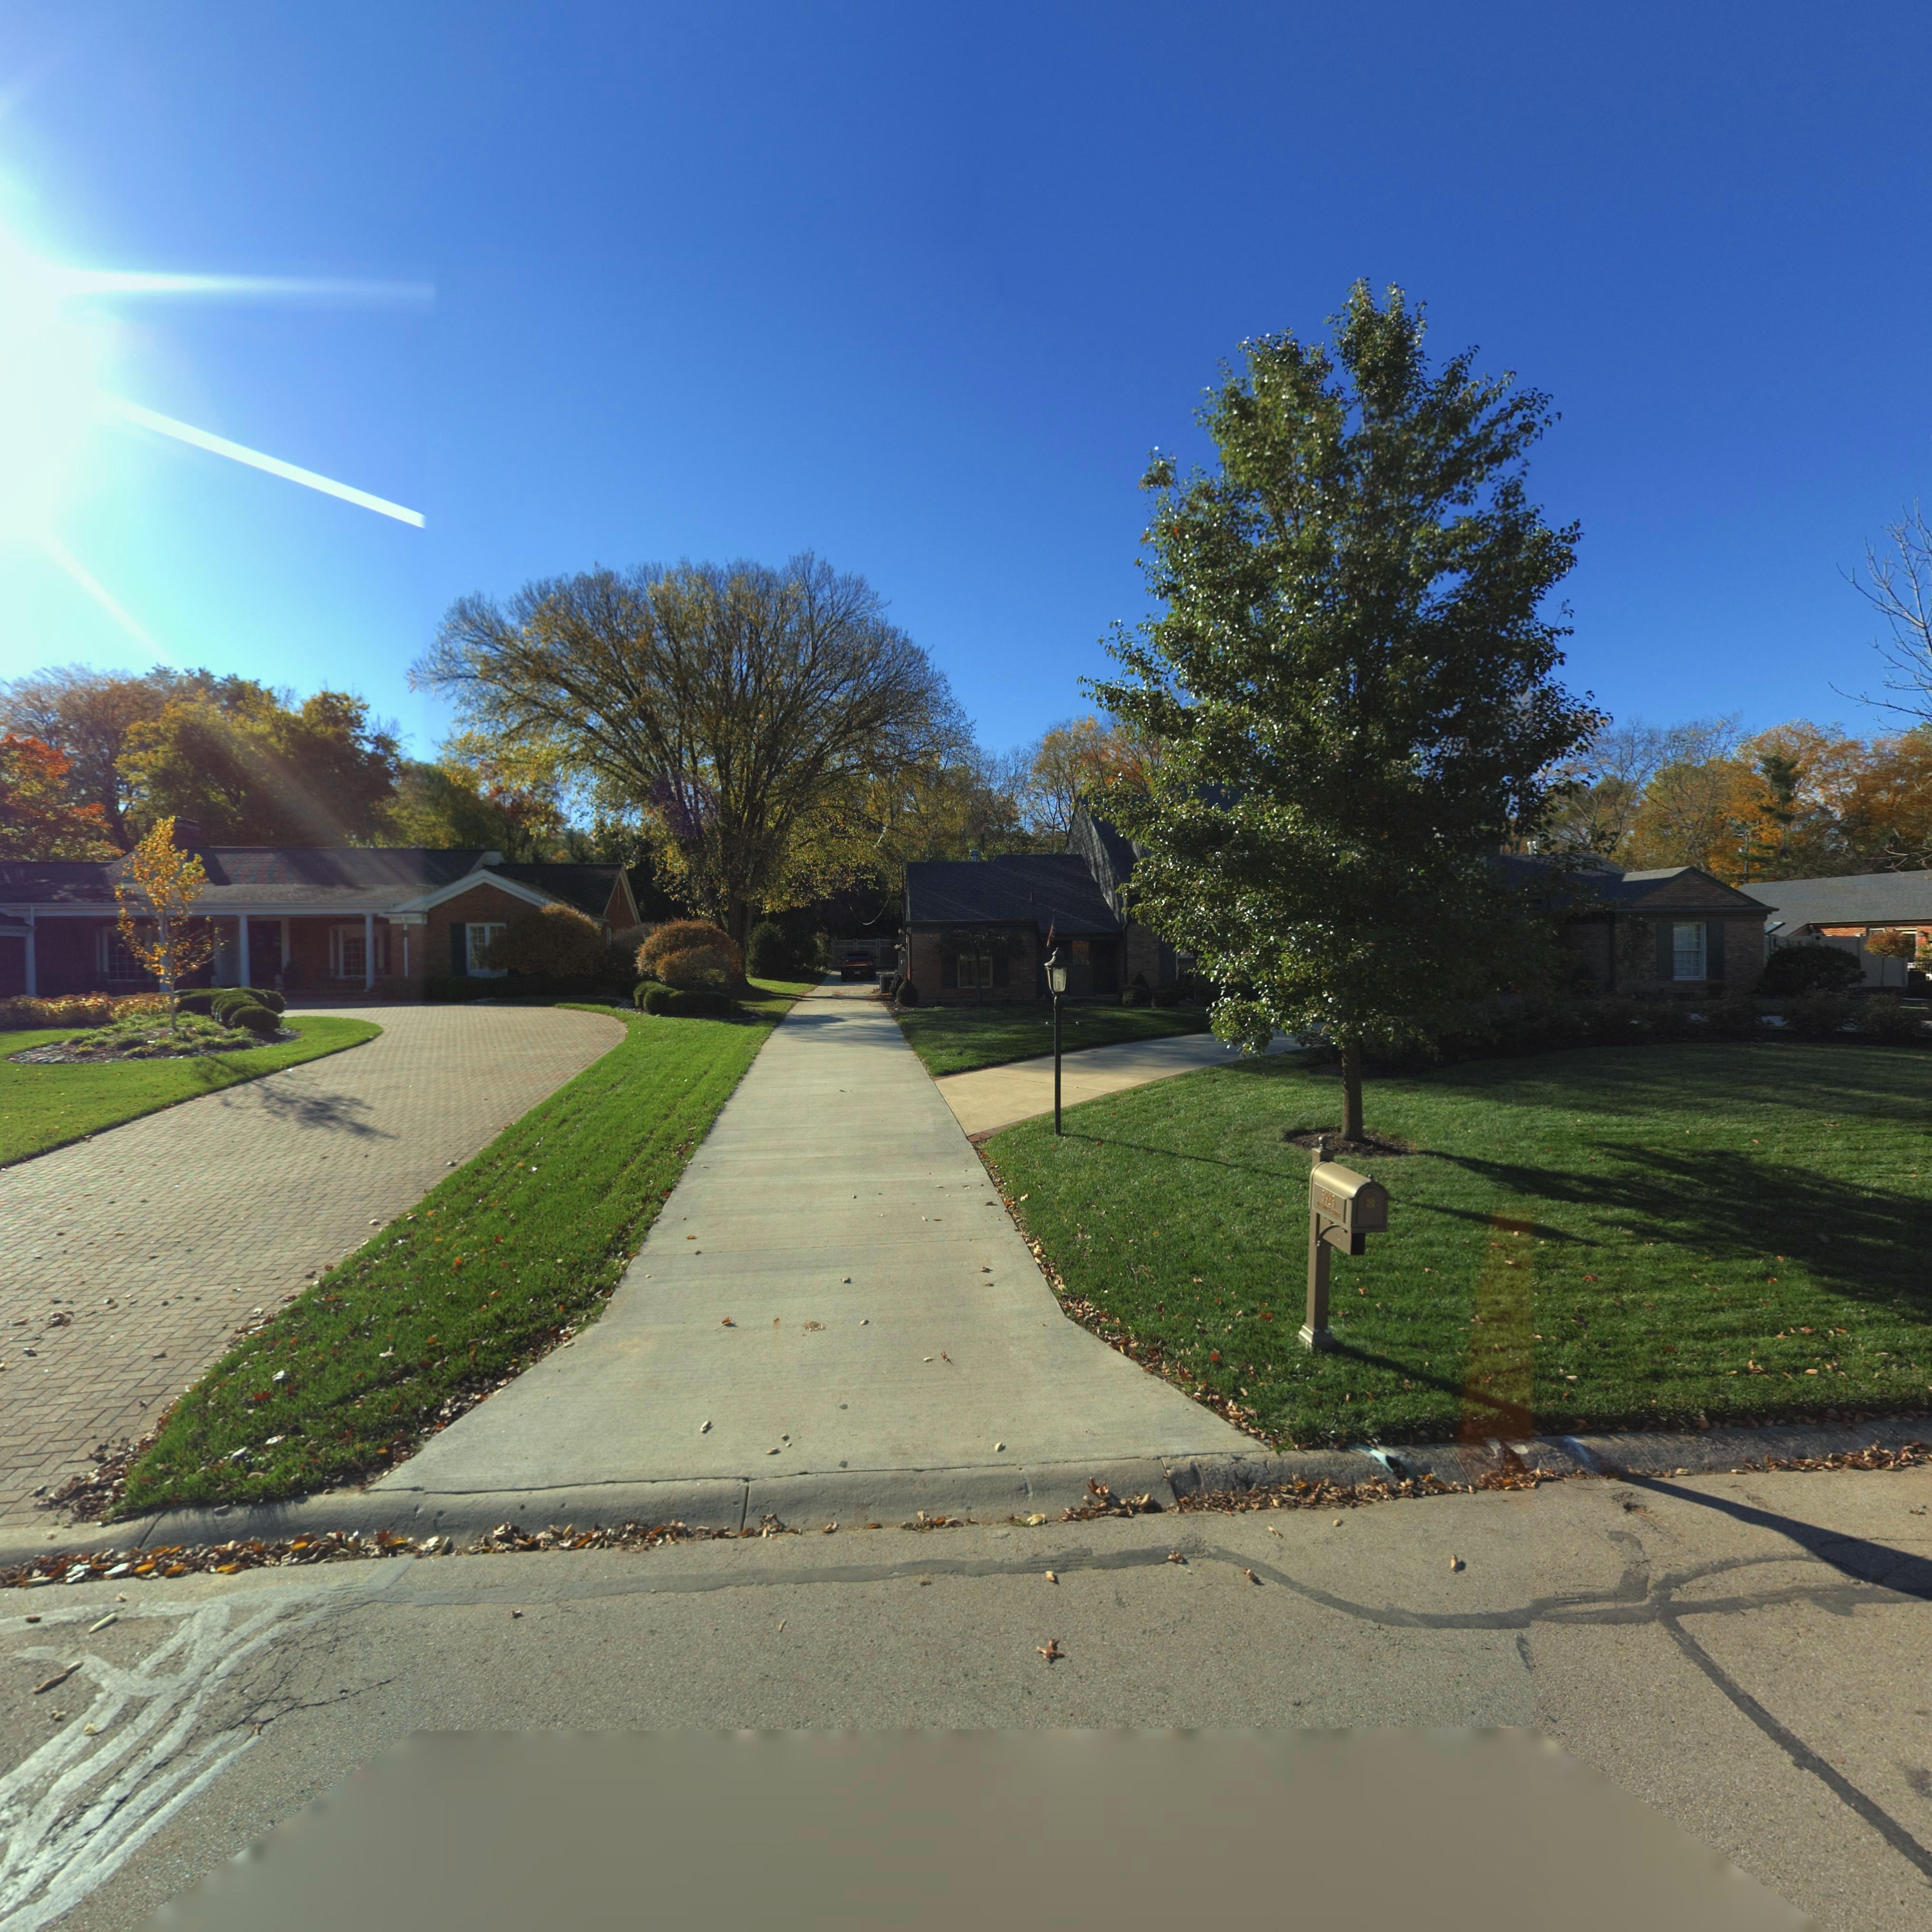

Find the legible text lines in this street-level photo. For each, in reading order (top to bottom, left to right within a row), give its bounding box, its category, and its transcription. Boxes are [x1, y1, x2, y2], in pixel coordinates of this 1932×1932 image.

[1320, 1188, 1336, 1209] StreetNumber: 5925